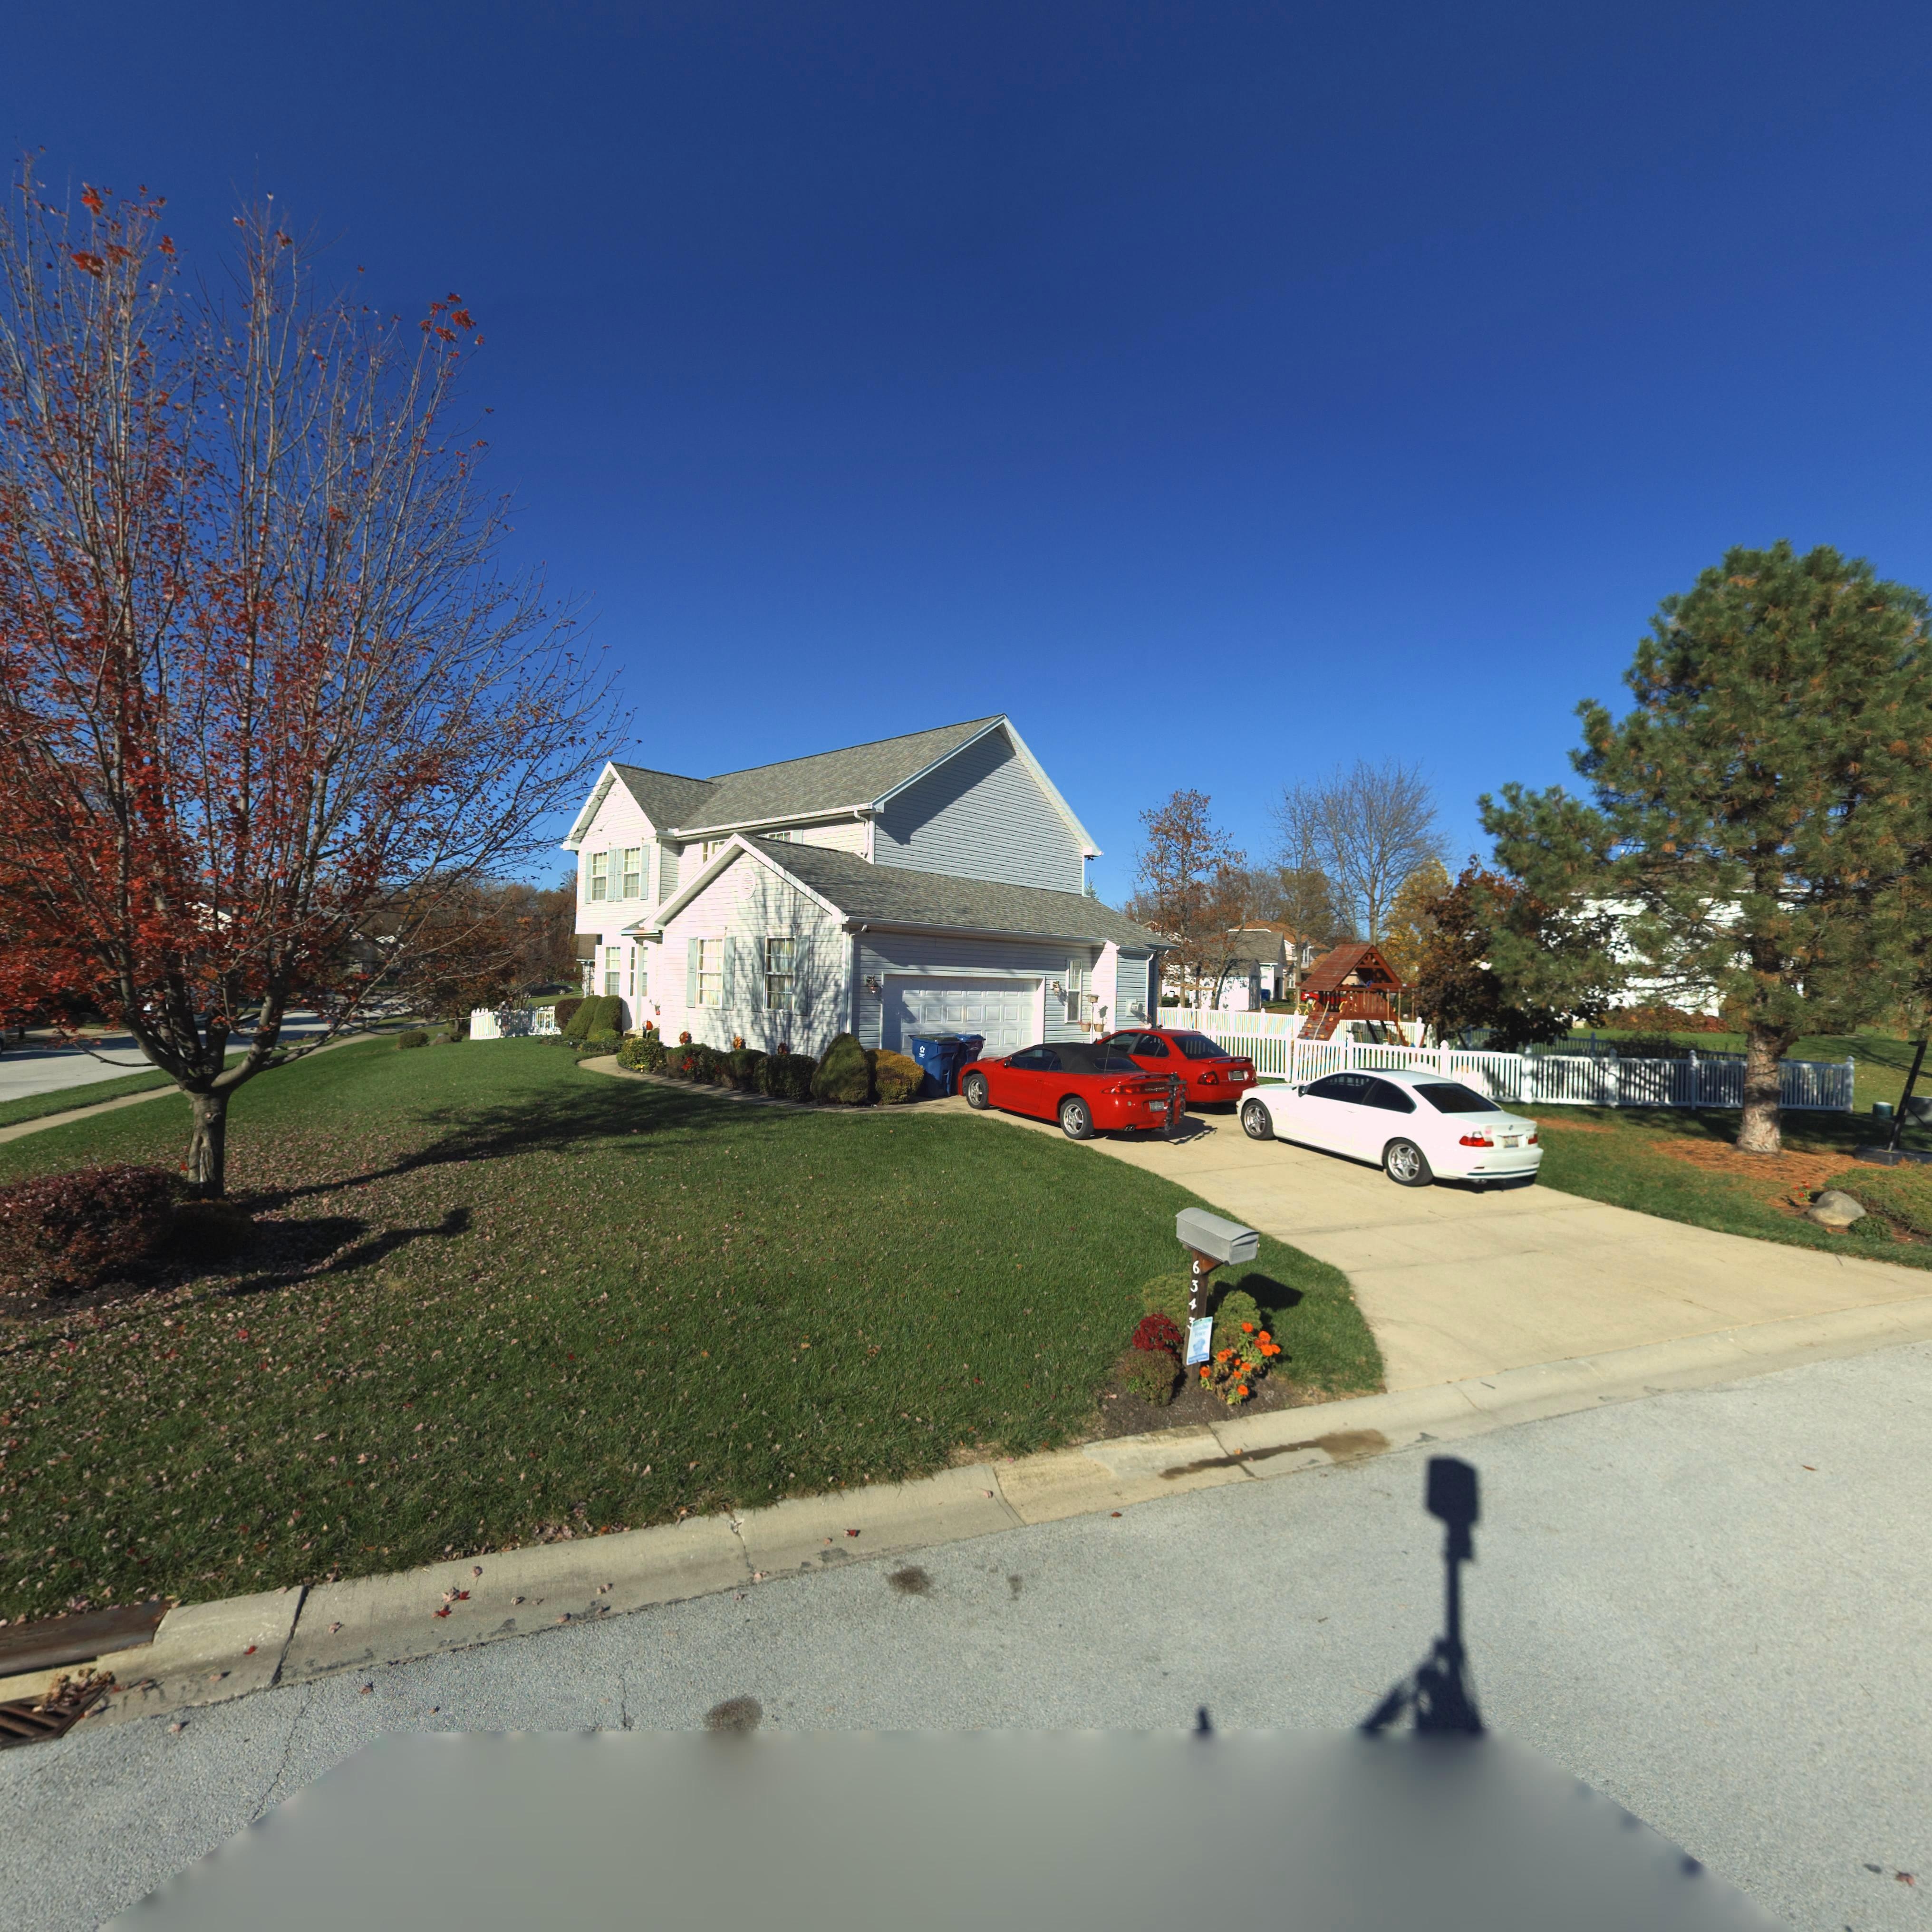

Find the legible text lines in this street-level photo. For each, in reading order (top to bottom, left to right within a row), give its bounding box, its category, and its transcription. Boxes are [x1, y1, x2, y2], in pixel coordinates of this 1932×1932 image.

[1186, 1259, 1200, 1330] StreetNumber: 6343